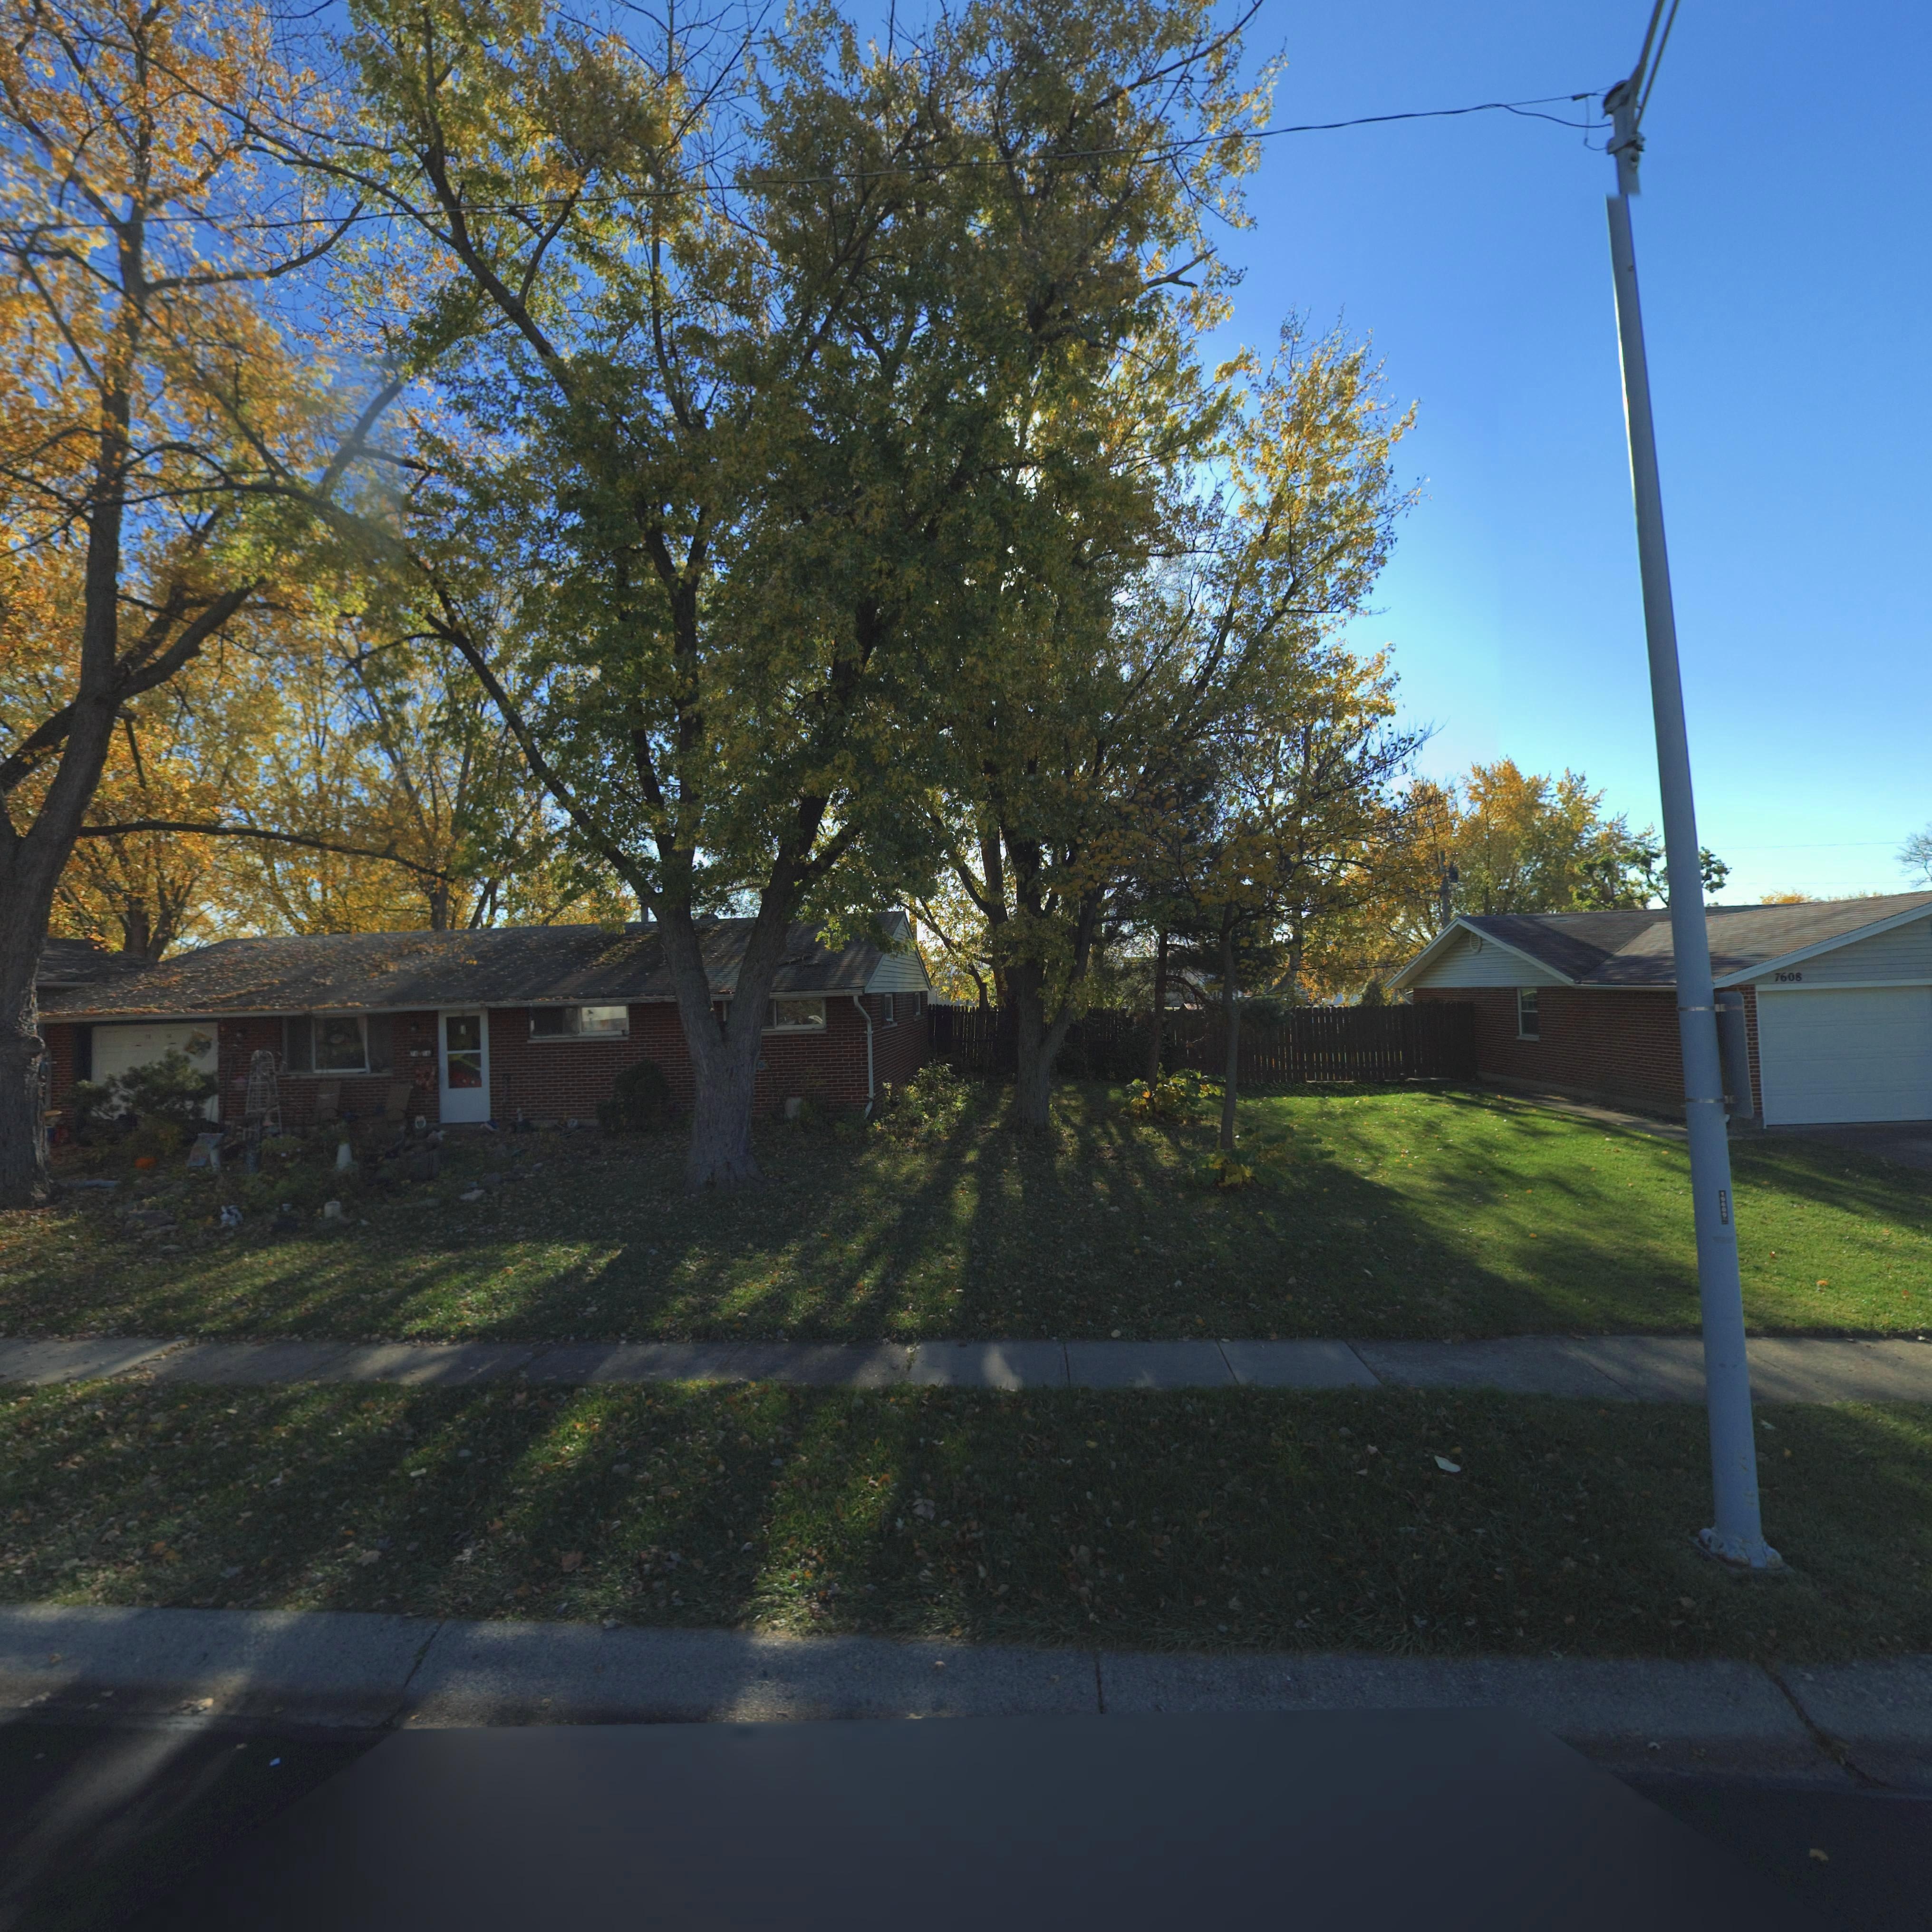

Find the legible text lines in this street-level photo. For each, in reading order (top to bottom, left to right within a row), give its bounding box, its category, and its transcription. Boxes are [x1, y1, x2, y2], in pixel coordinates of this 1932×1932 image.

[1774, 971, 1804, 984] StreetNumber: 7608